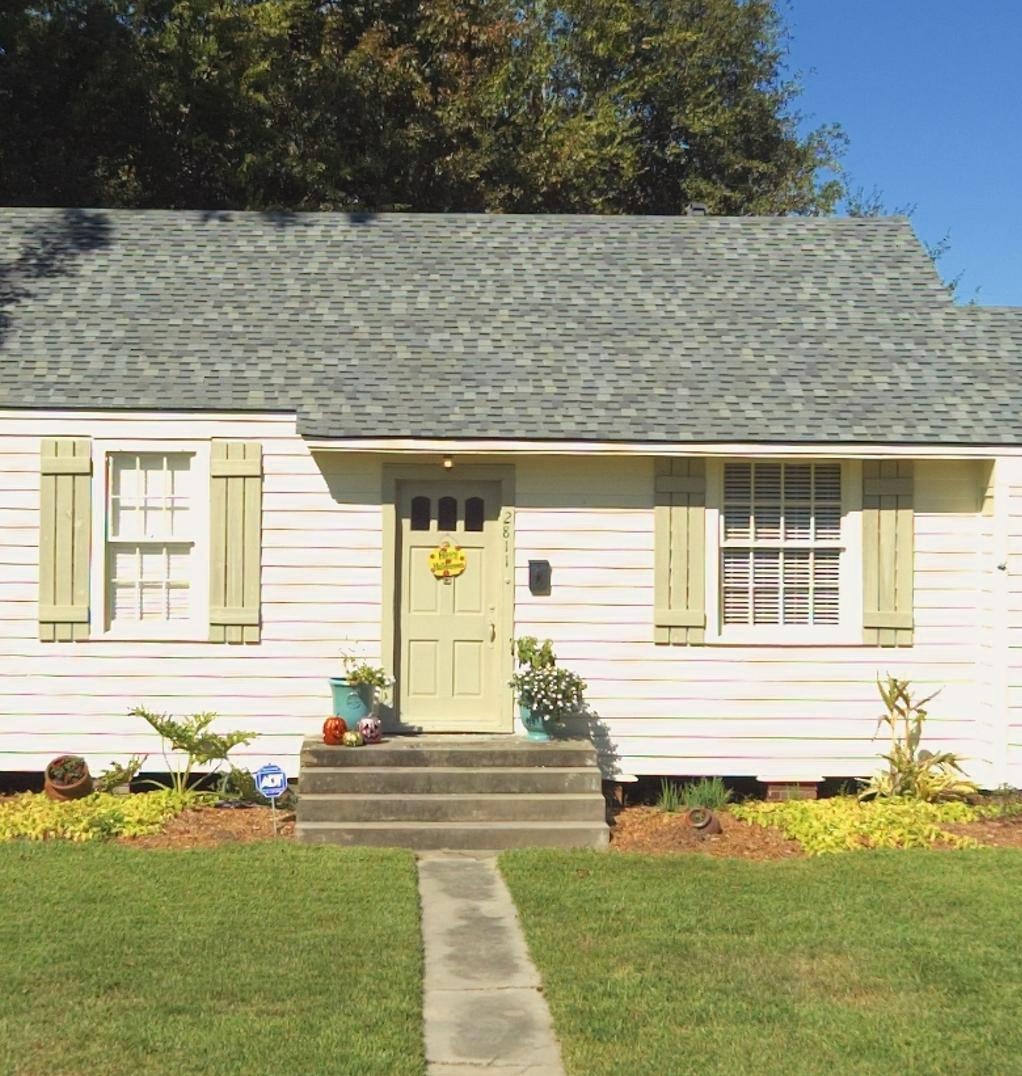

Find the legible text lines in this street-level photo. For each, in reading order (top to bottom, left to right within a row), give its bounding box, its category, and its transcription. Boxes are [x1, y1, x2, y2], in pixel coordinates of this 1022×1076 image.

[501, 509, 513, 569] StreetNumber: 2811
[259, 773, 284, 789] None: ADT